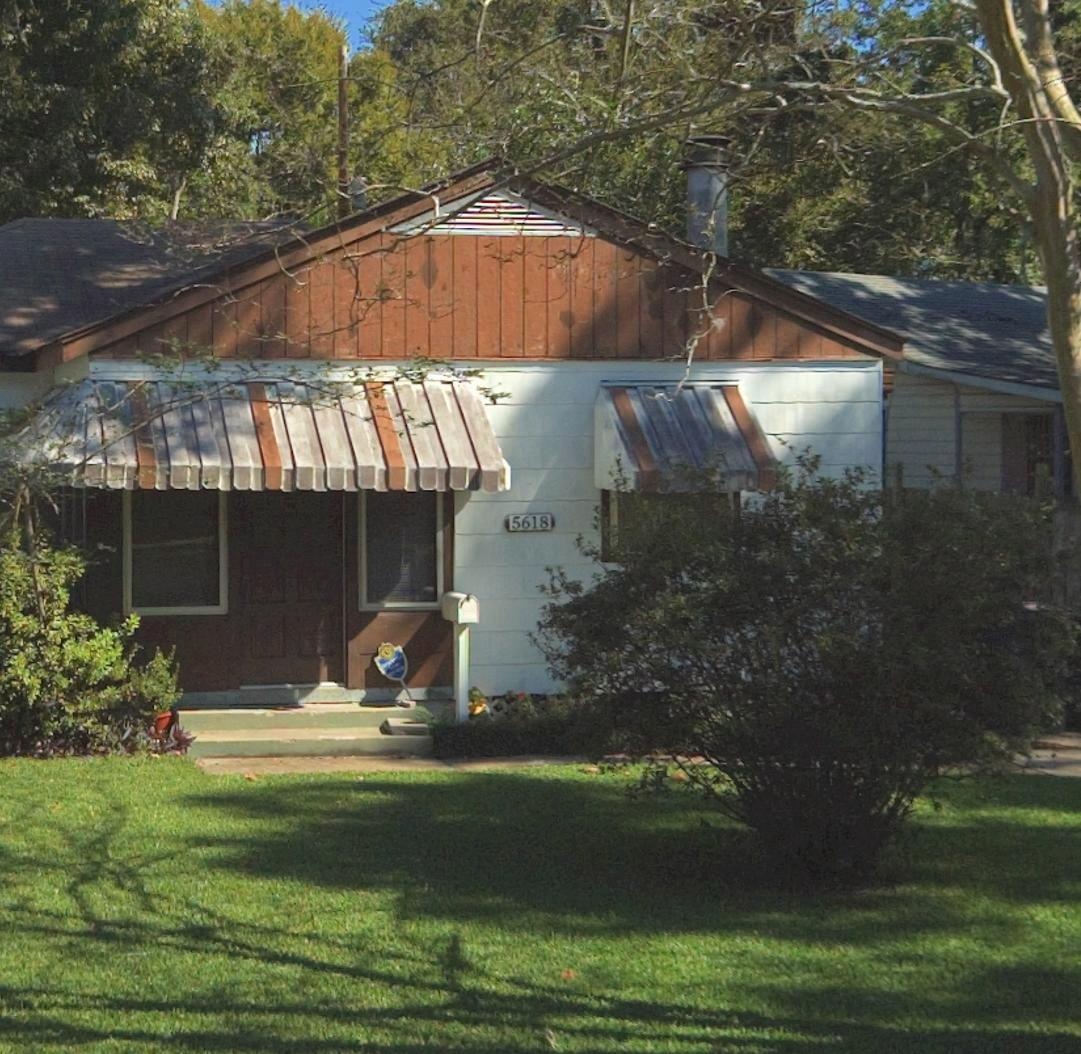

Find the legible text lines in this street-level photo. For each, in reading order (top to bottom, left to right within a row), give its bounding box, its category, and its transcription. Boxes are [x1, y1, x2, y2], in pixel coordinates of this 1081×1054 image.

[510, 514, 550, 530] StreetNumber: 5618